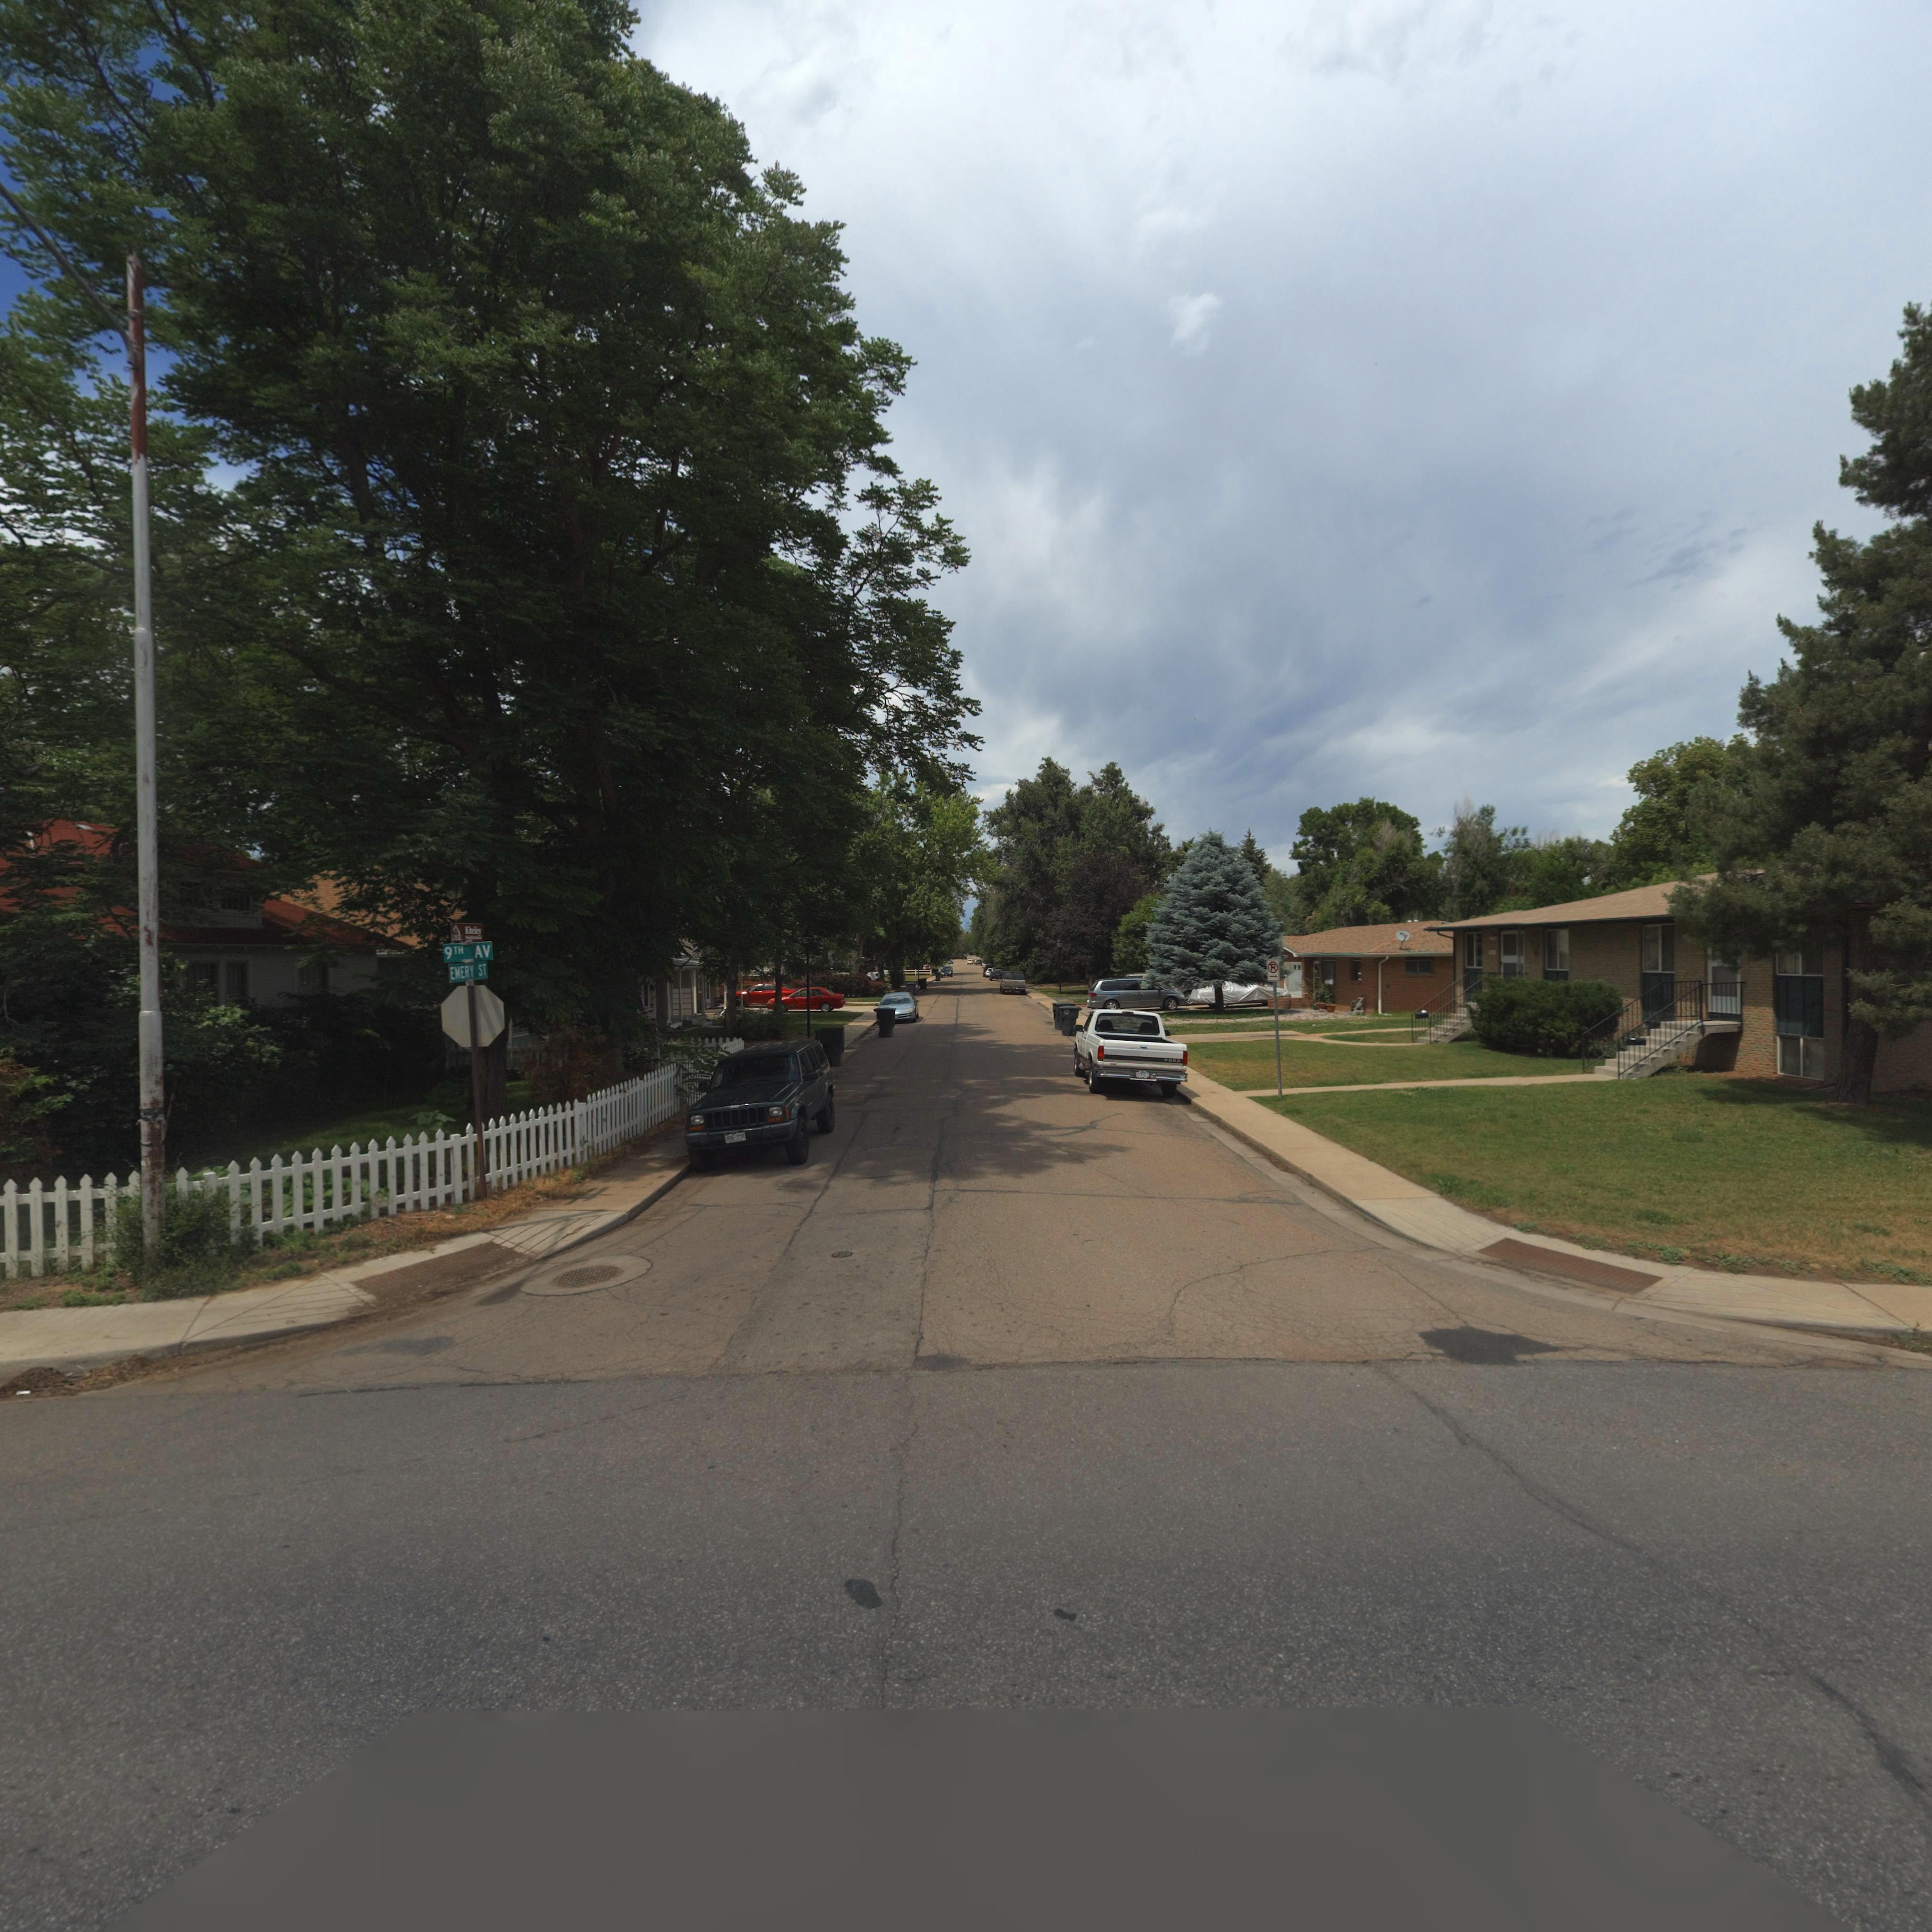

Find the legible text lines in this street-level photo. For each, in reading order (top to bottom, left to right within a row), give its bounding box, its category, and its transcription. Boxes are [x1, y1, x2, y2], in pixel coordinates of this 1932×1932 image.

[444, 944, 491, 960] StreetName: 9TH AV
[449, 963, 486, 980] StreetName: EMERY ST